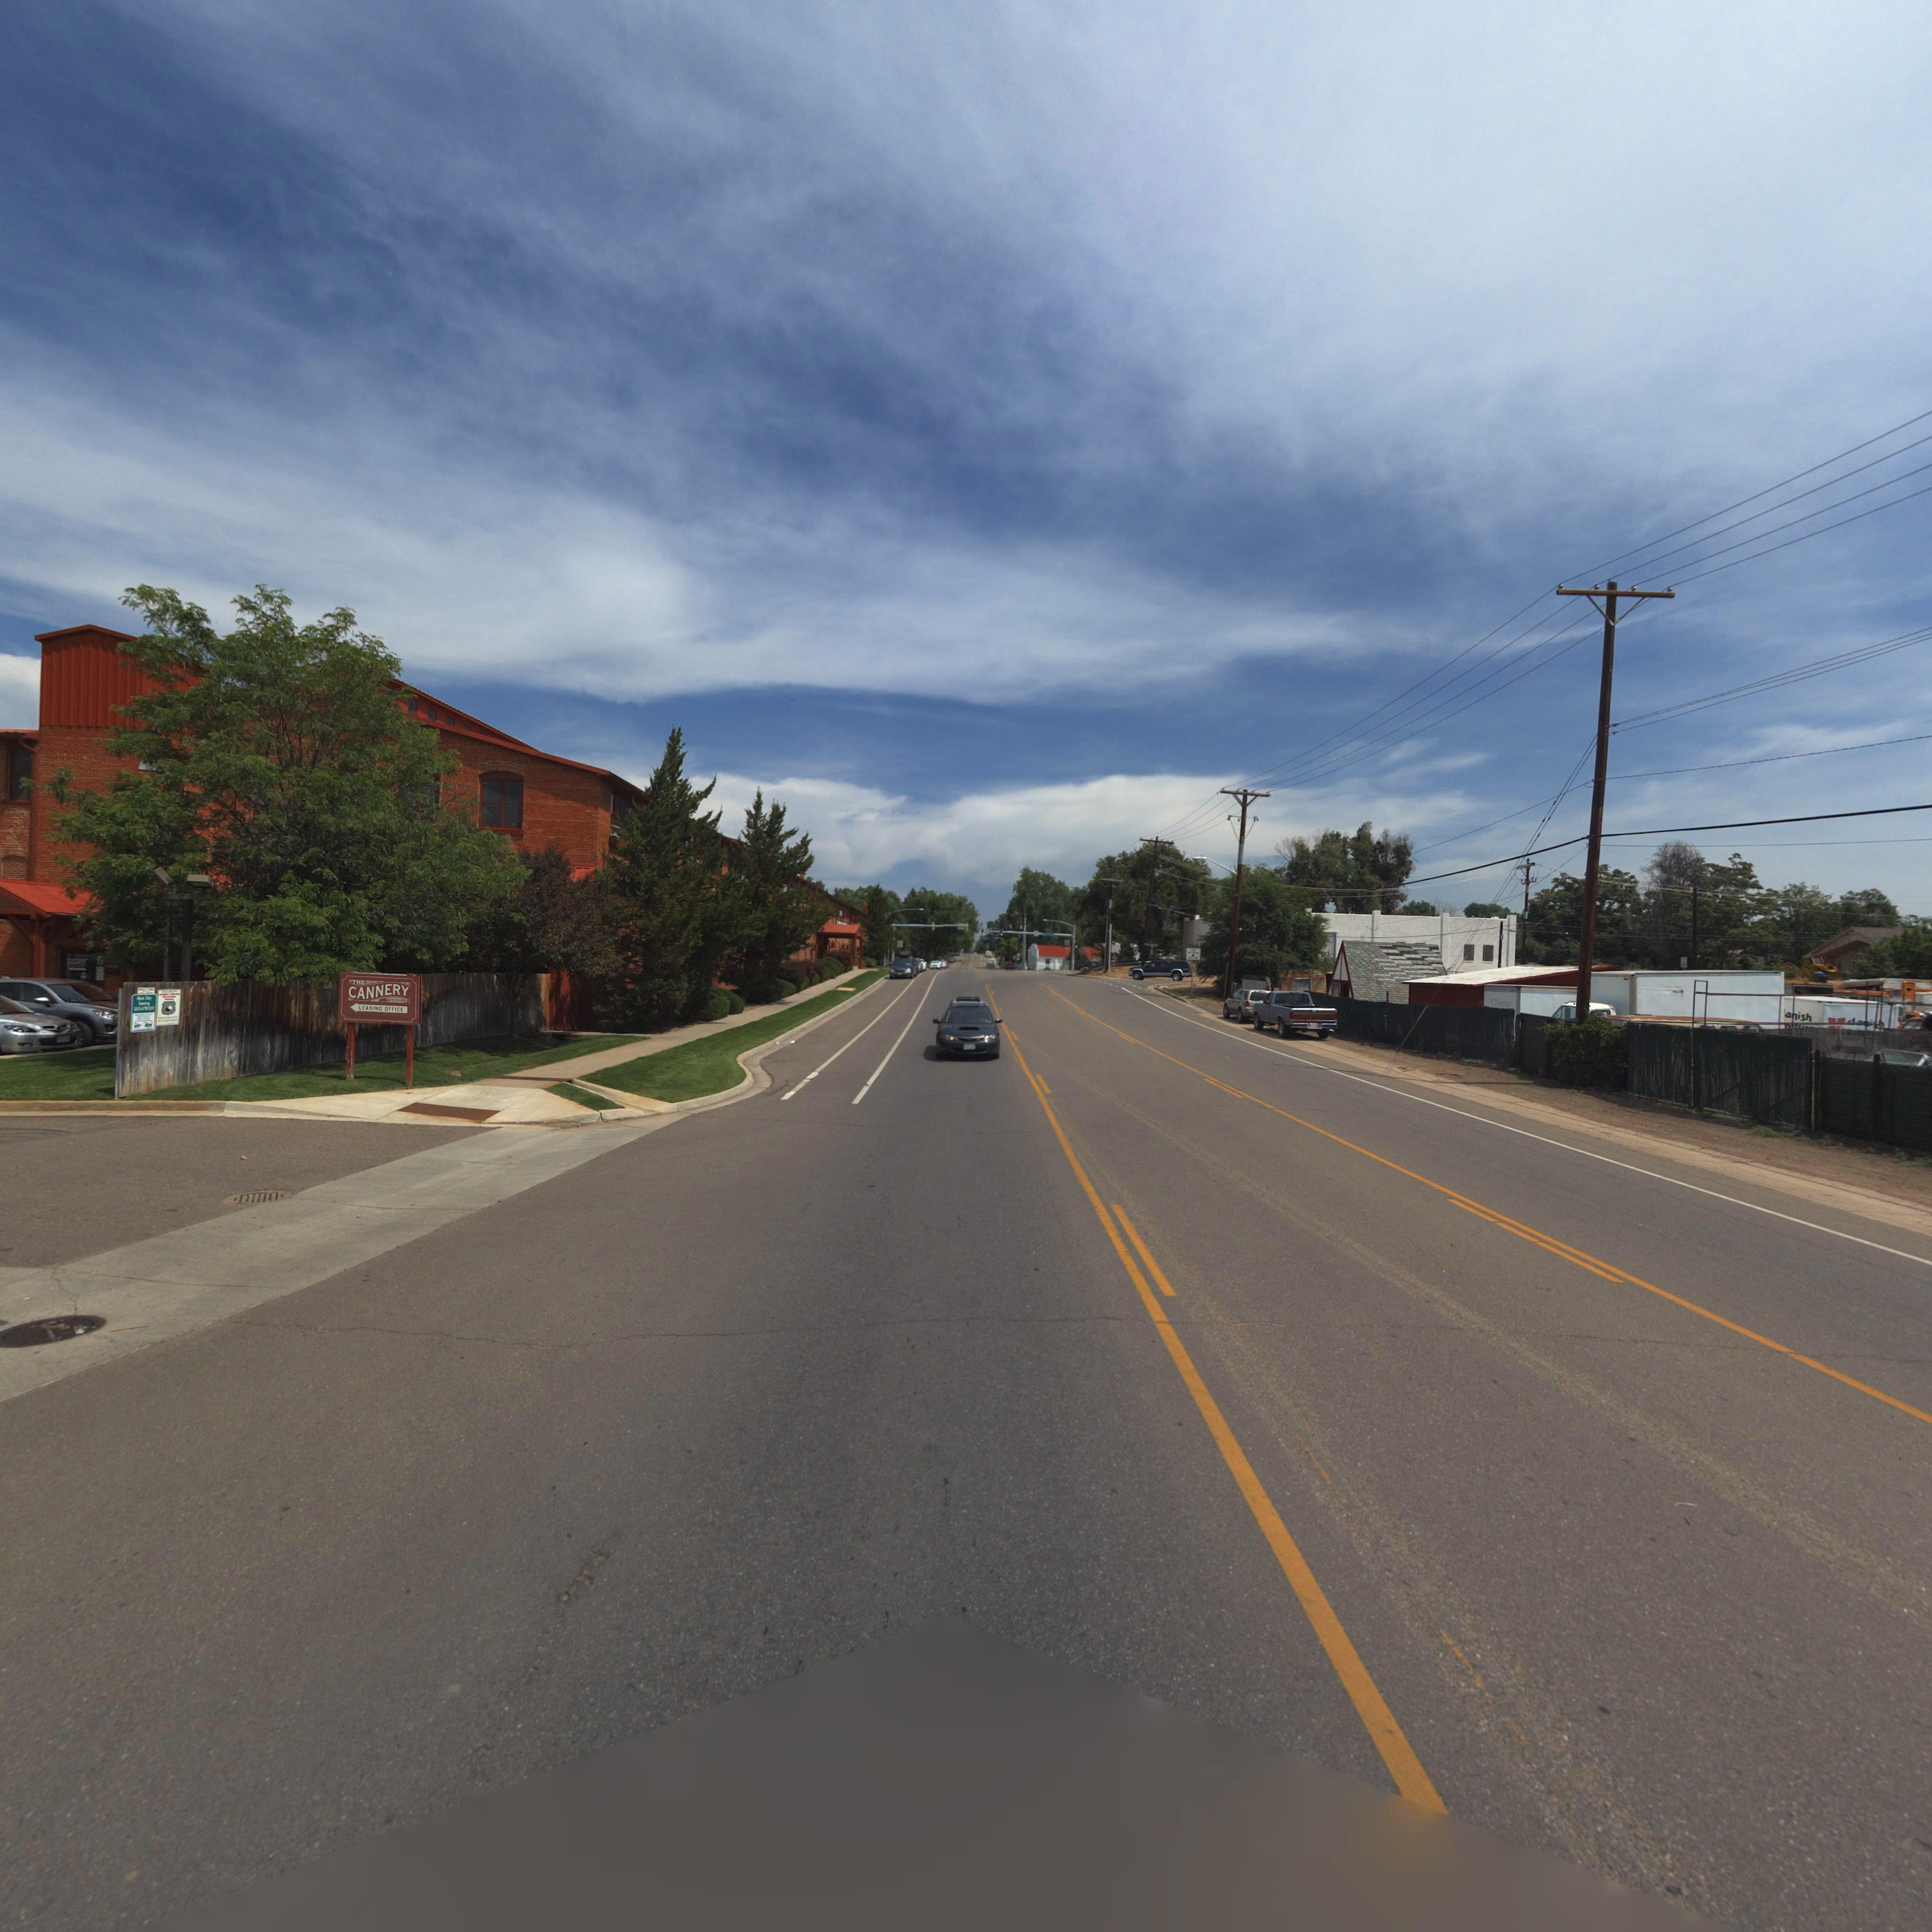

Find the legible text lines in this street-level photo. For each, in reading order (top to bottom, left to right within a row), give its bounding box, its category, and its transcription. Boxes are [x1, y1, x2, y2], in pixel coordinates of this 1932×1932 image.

[350, 979, 365, 985] BusinessName: THE
[348, 983, 409, 999] BusinessName: CANNERY